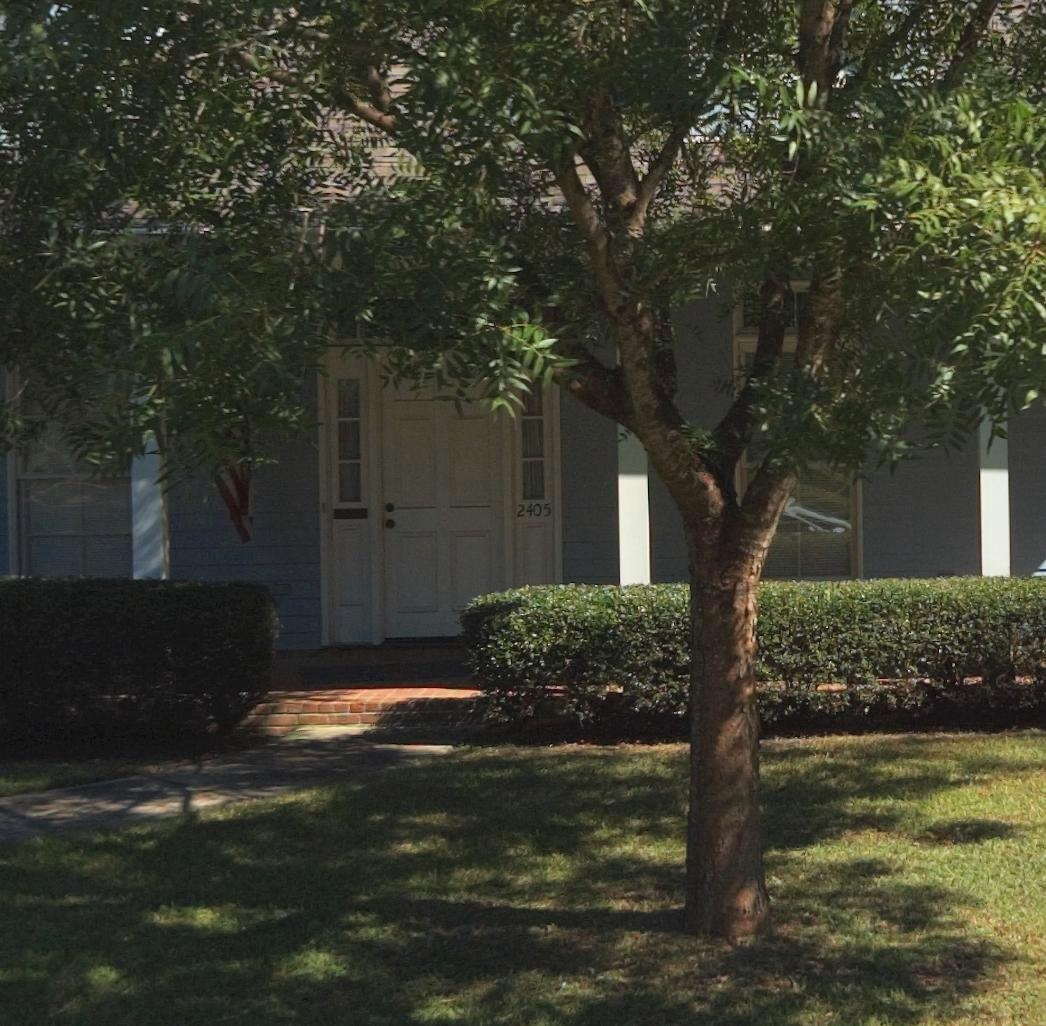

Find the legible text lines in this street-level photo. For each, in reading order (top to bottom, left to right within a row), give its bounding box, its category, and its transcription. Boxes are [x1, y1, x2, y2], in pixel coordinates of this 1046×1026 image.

[515, 501, 553, 519] StreetNumber: 2405